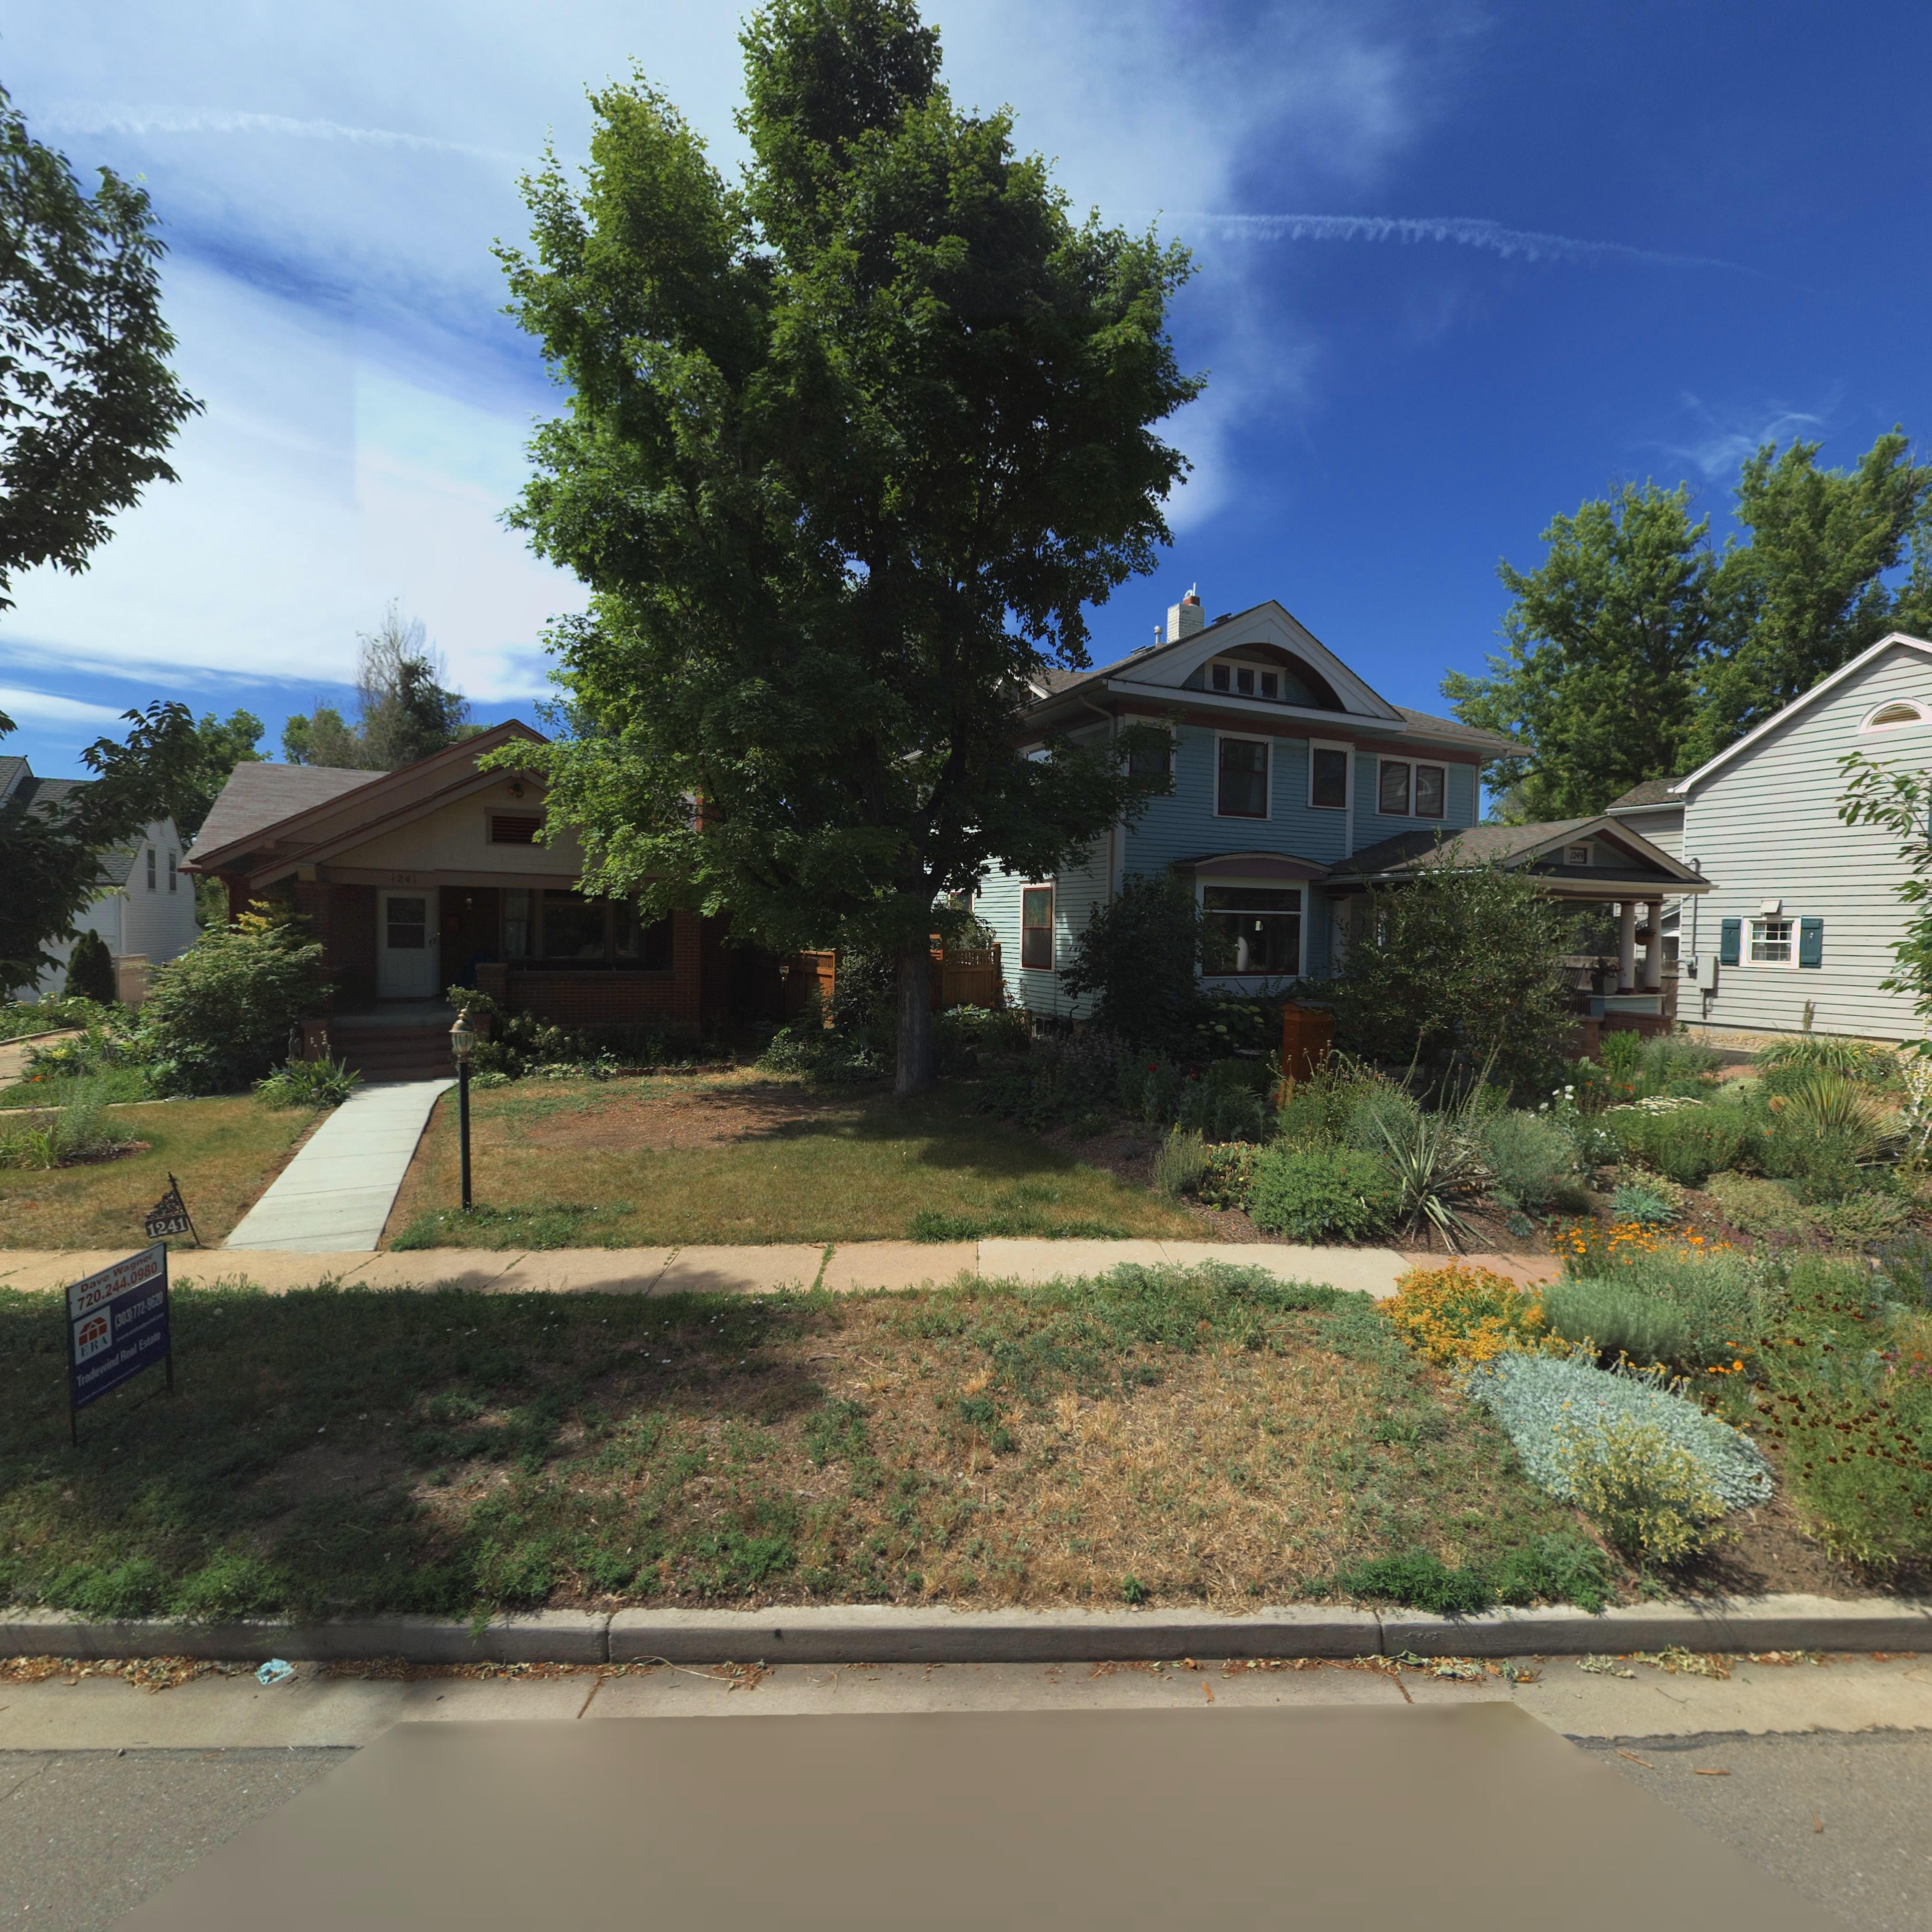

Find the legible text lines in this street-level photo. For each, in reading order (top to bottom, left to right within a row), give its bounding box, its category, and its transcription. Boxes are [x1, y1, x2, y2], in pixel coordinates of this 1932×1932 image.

[1569, 851, 1584, 859] StreetNumber: 1249
[391, 873, 416, 884] StreetNumber: 1241
[146, 1217, 186, 1237] StreetNumber: 1241